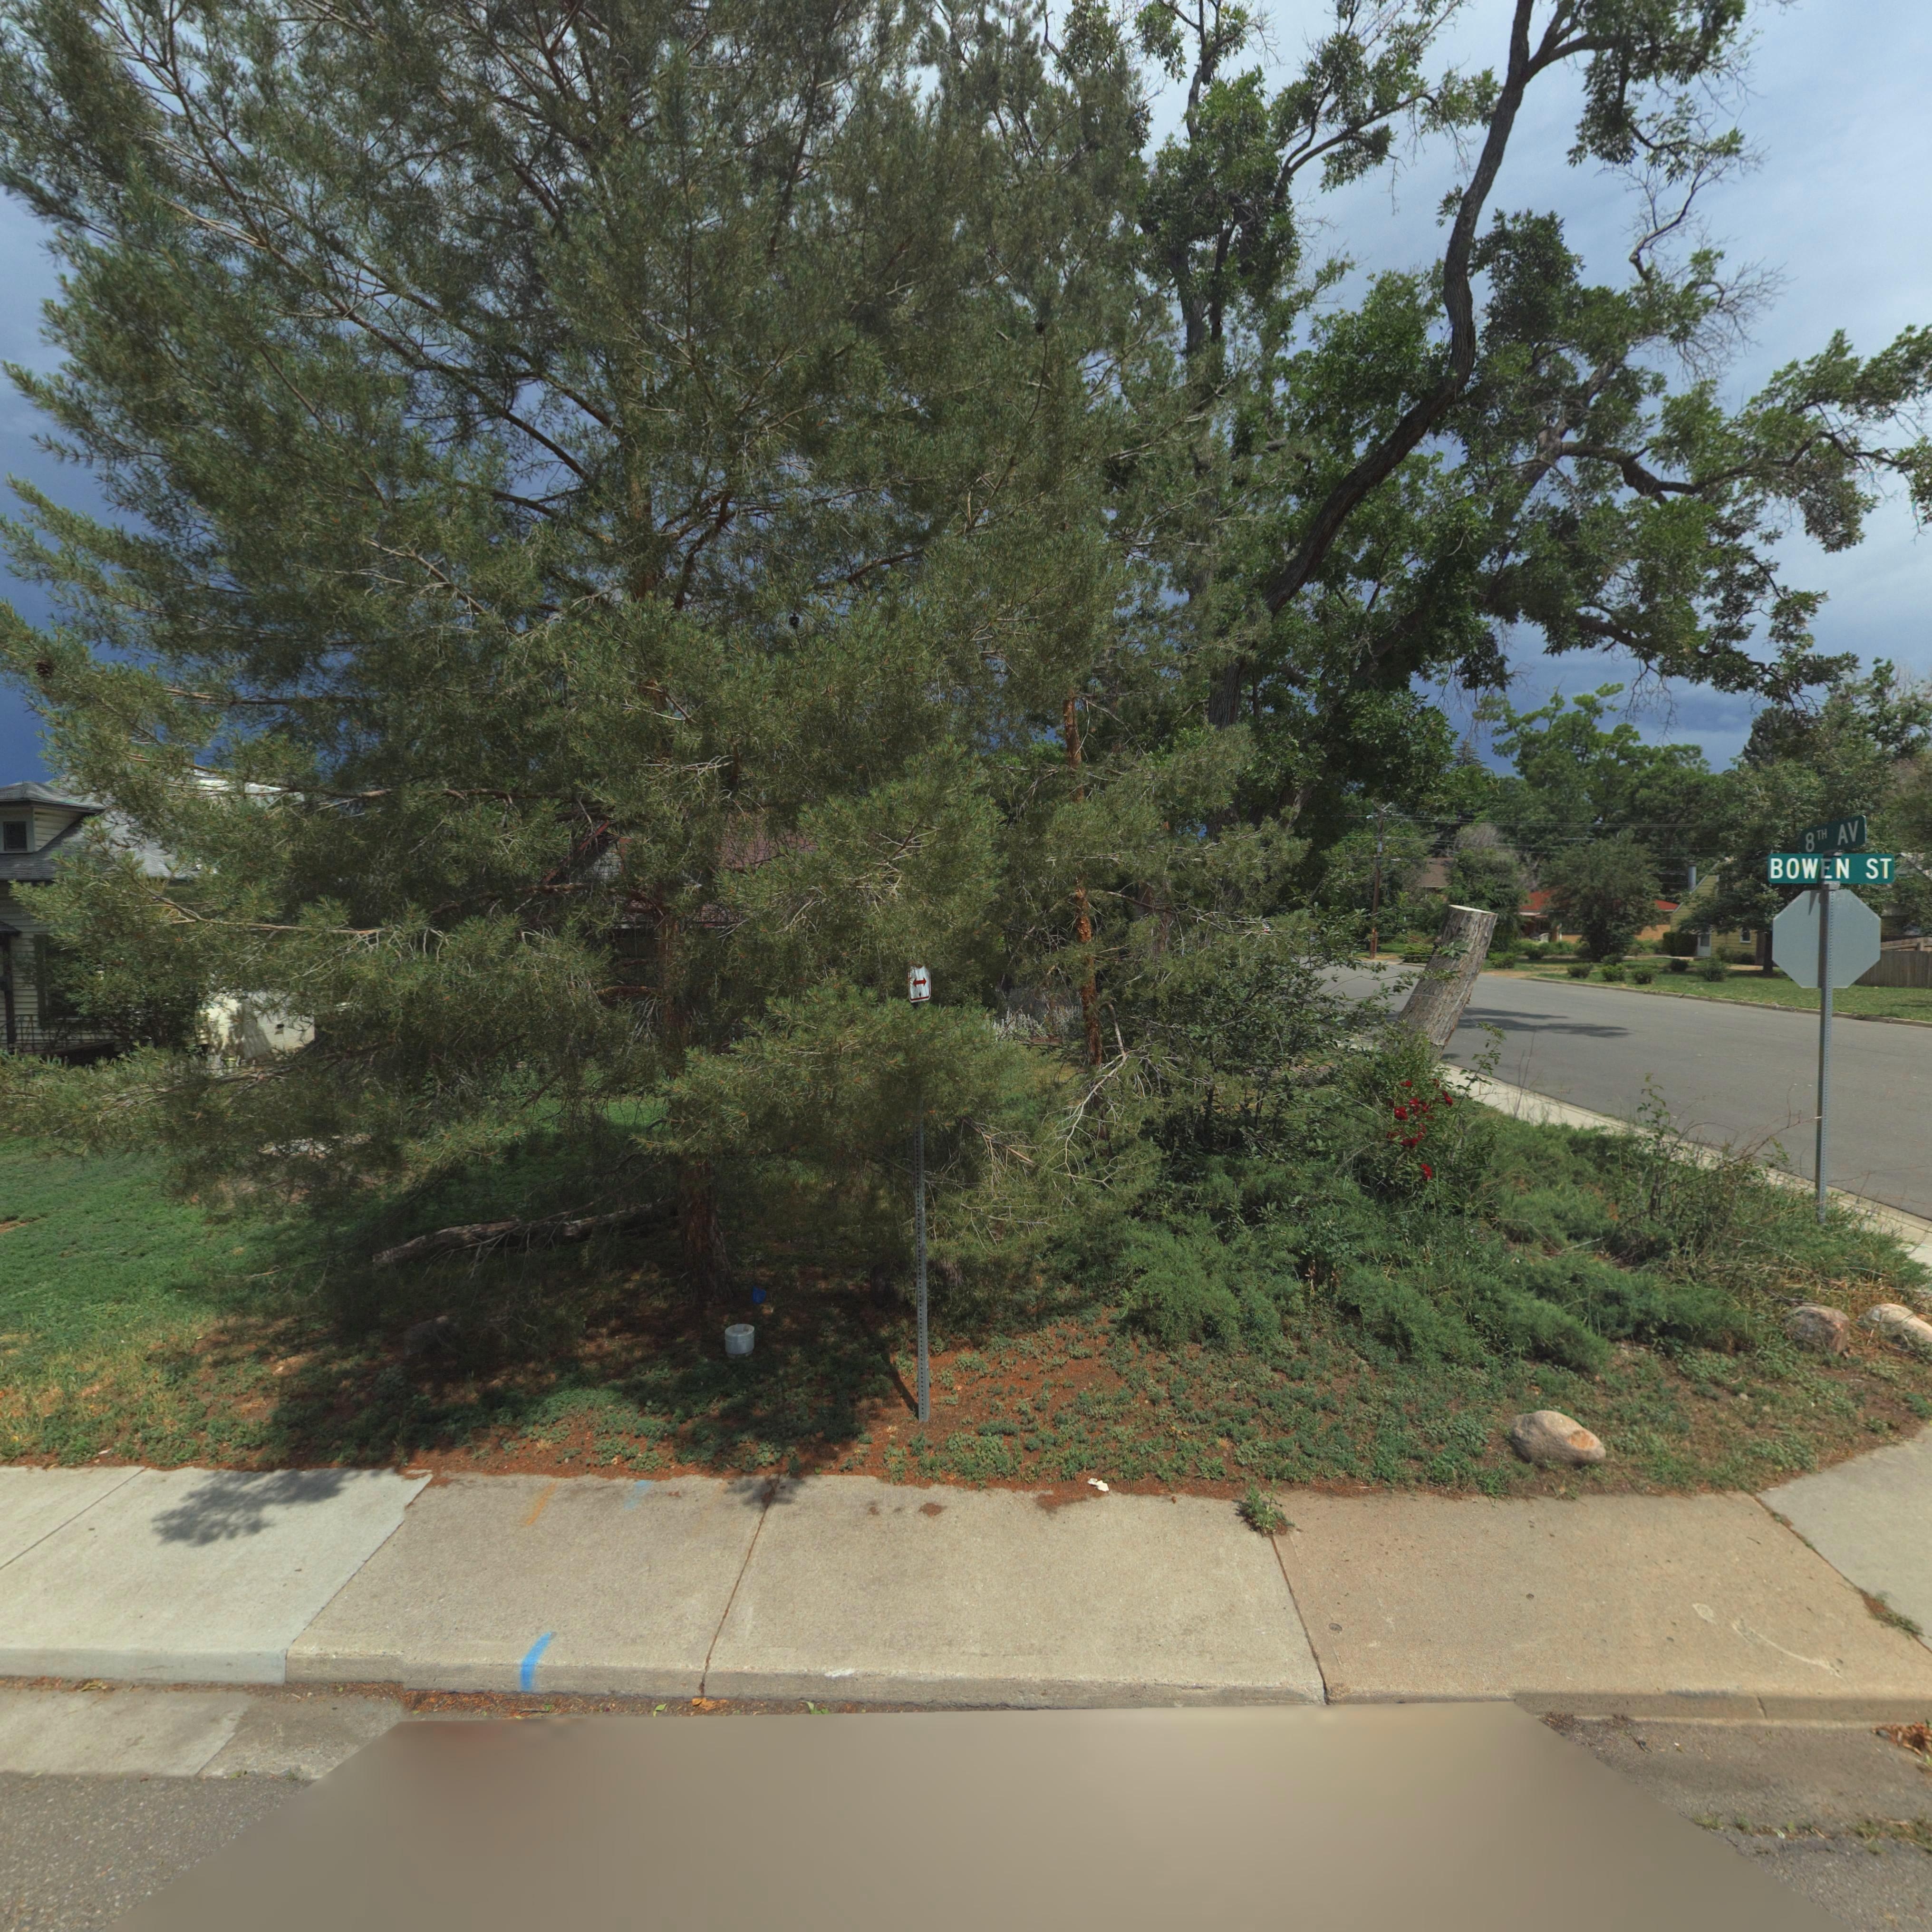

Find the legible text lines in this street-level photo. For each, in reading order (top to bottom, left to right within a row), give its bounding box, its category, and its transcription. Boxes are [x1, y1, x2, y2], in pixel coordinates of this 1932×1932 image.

[1805, 819, 1859, 853] StreetName: 8TH AV
[1769, 857, 1893, 879] StreetName: BOWEN ST